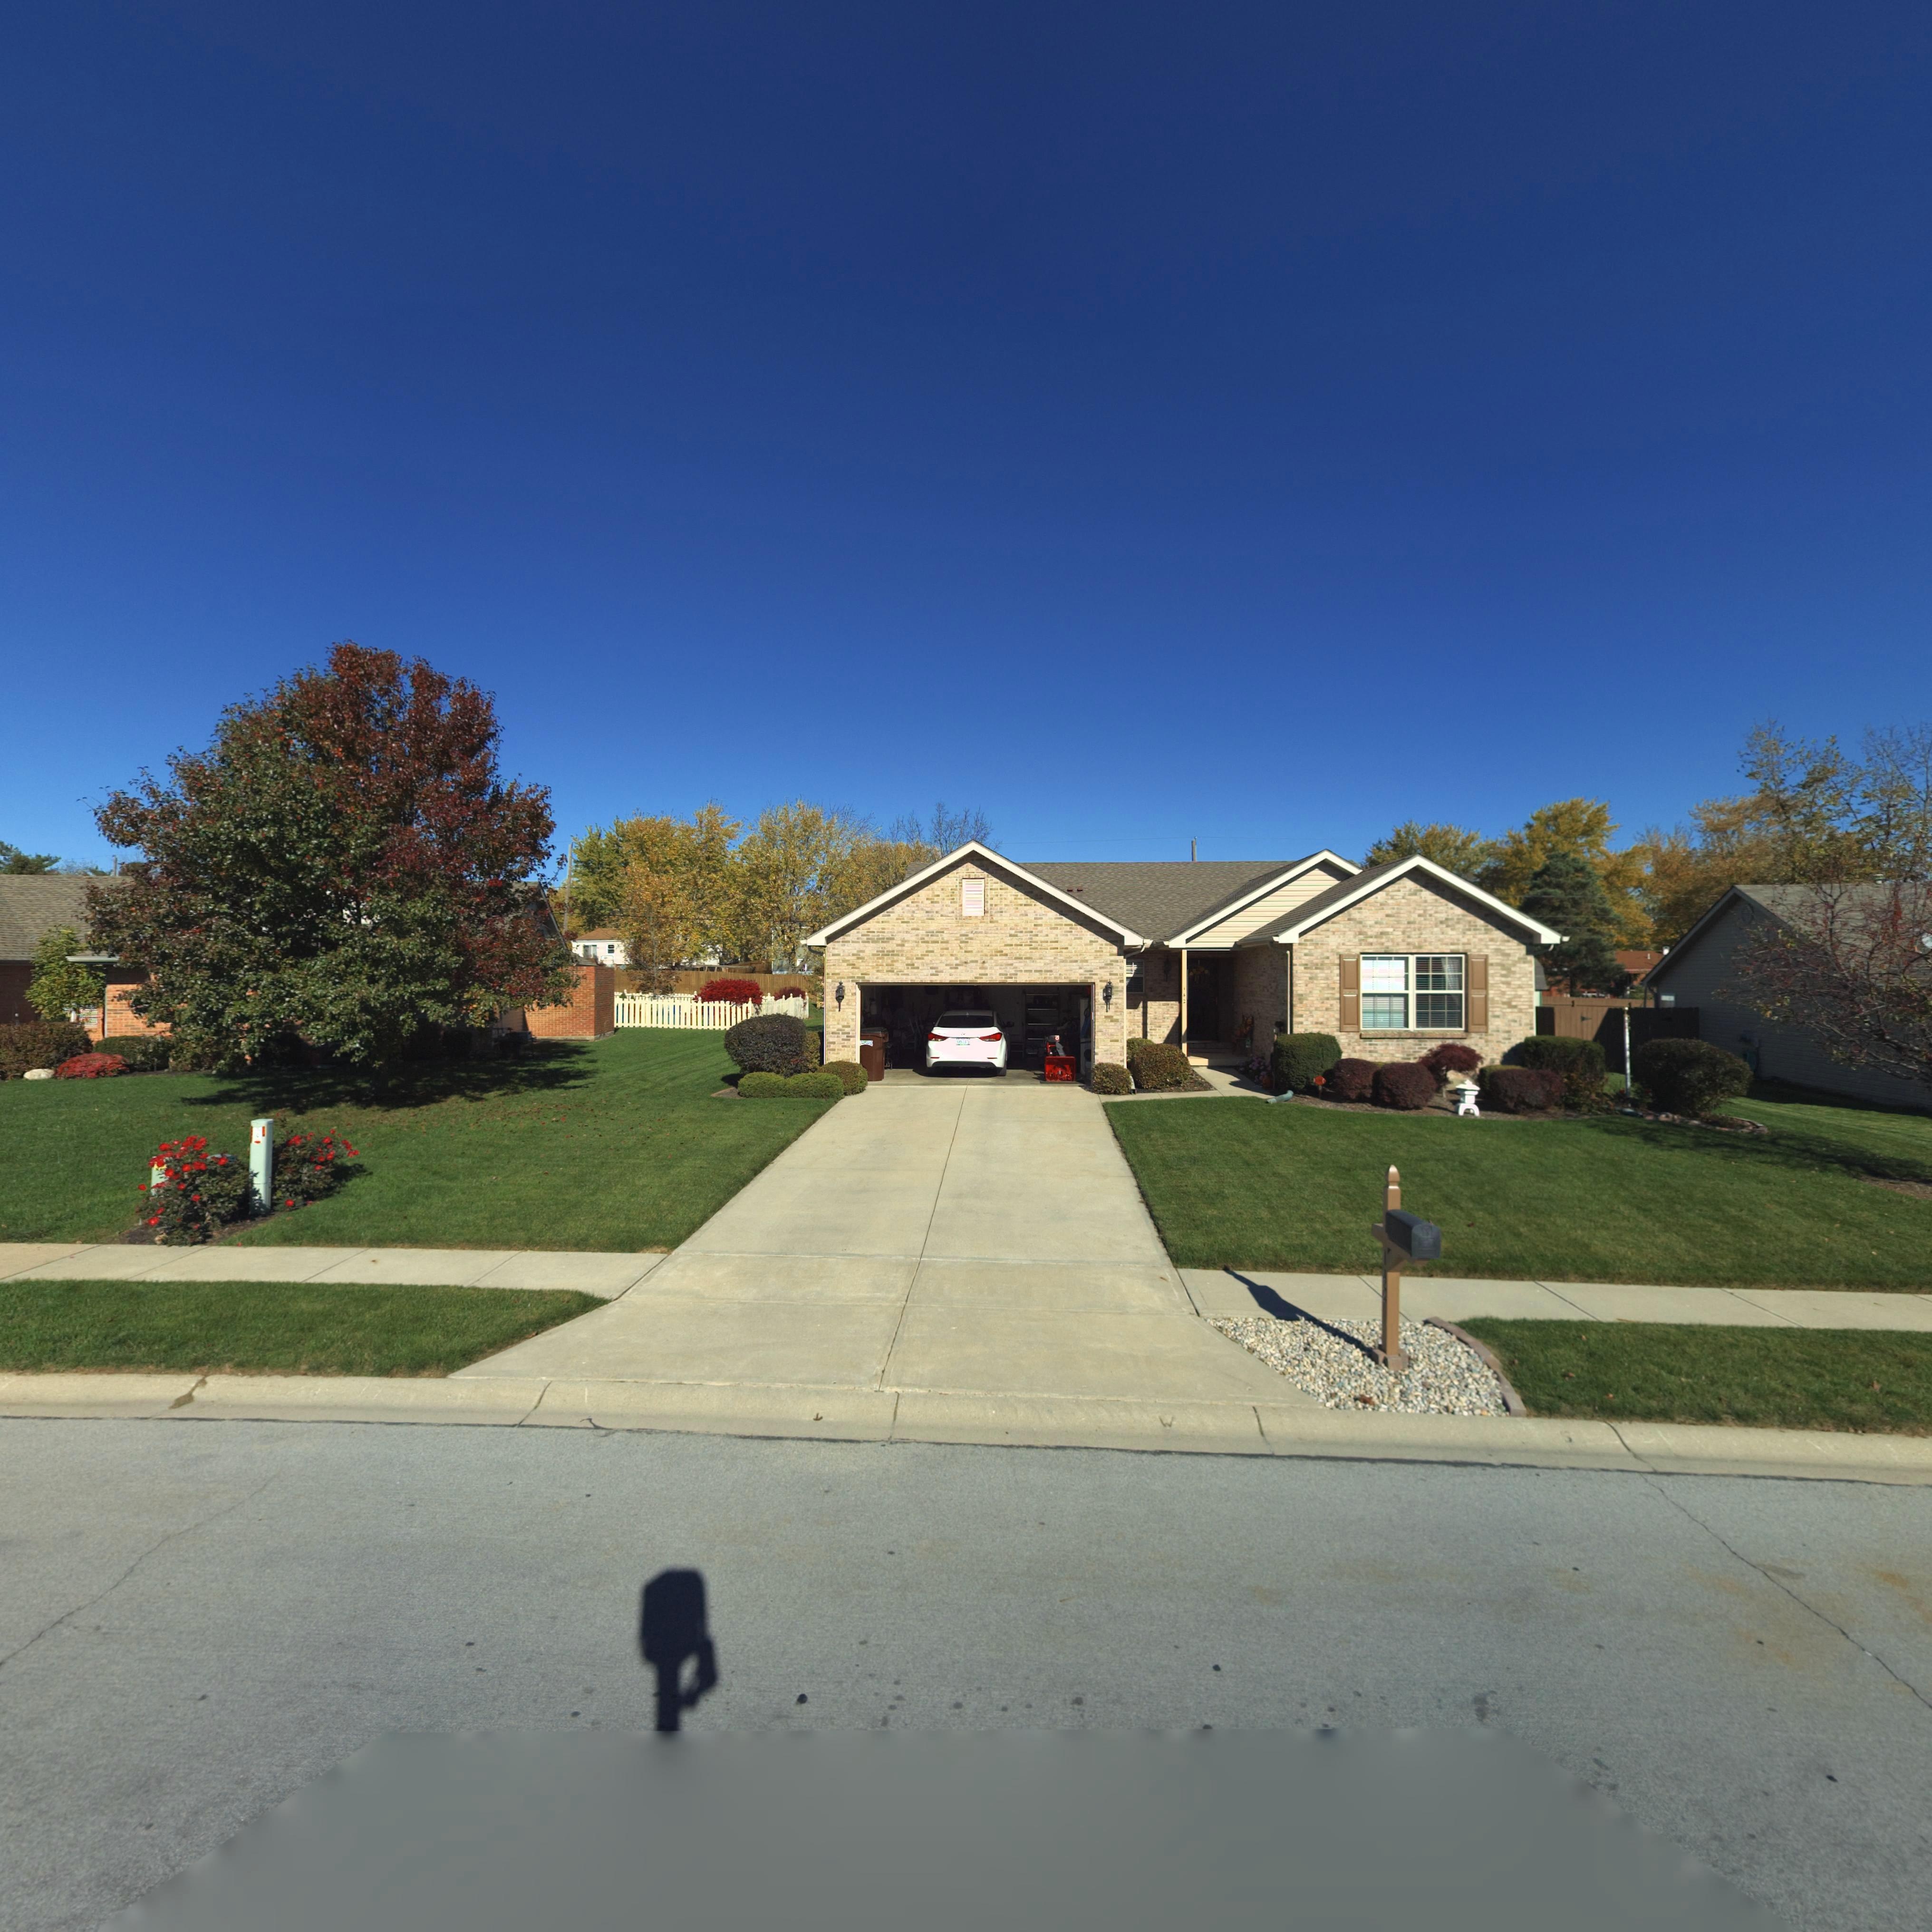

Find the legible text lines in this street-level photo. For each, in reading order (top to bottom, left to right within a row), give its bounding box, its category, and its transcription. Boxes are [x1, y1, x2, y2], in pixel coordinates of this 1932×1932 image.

[1182, 986, 1186, 1004] StreetNumber: 142
[1382, 1247, 1387, 1304] StreetNumber: 142